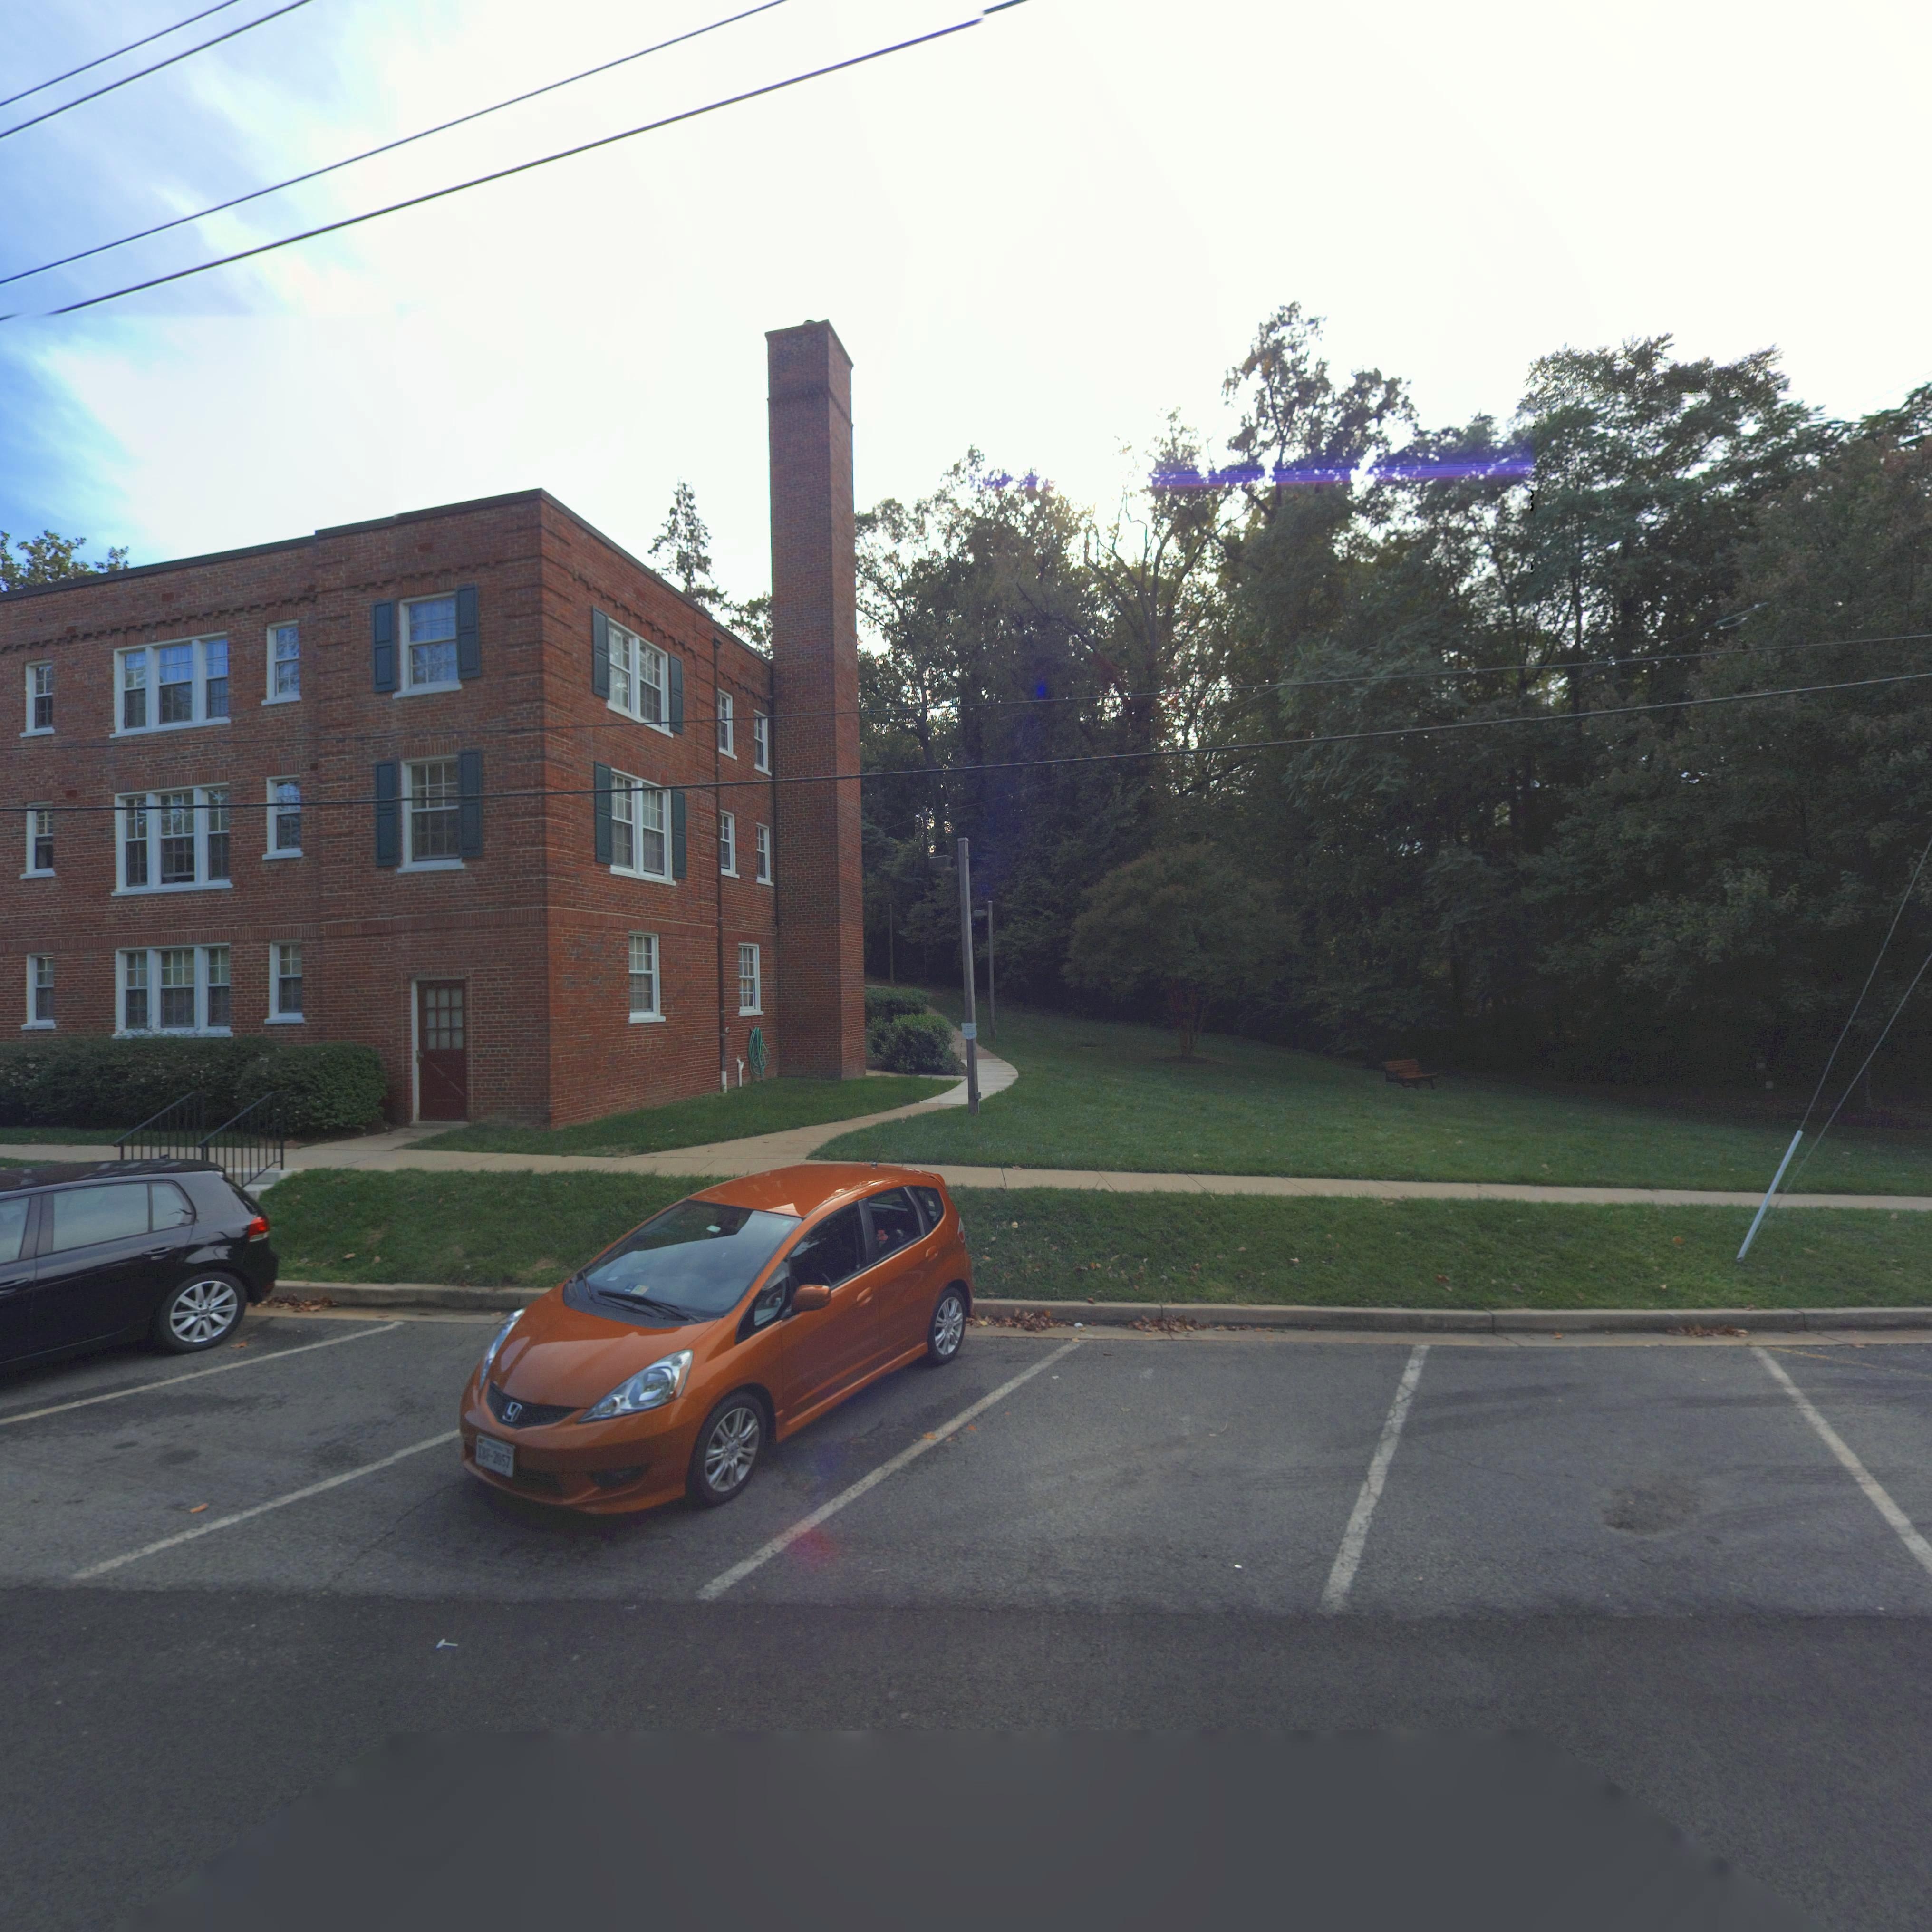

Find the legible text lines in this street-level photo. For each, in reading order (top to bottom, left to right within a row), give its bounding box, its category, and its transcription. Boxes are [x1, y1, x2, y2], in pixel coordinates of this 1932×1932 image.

[475, 1443, 513, 1470] None: X*F*2057